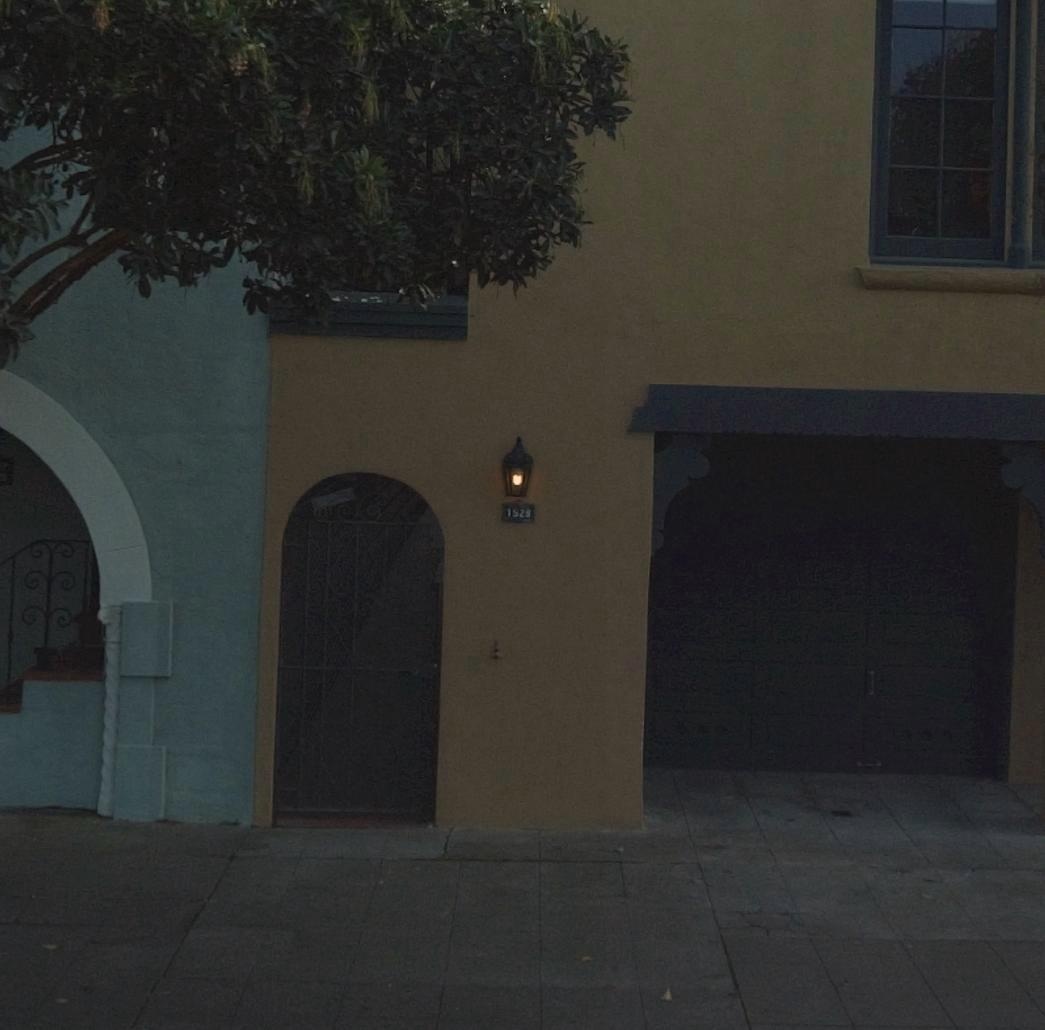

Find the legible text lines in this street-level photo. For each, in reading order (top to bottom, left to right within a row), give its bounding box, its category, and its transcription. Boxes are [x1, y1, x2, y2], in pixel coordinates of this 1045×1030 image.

[505, 505, 534, 521] StreetNumber: 1529